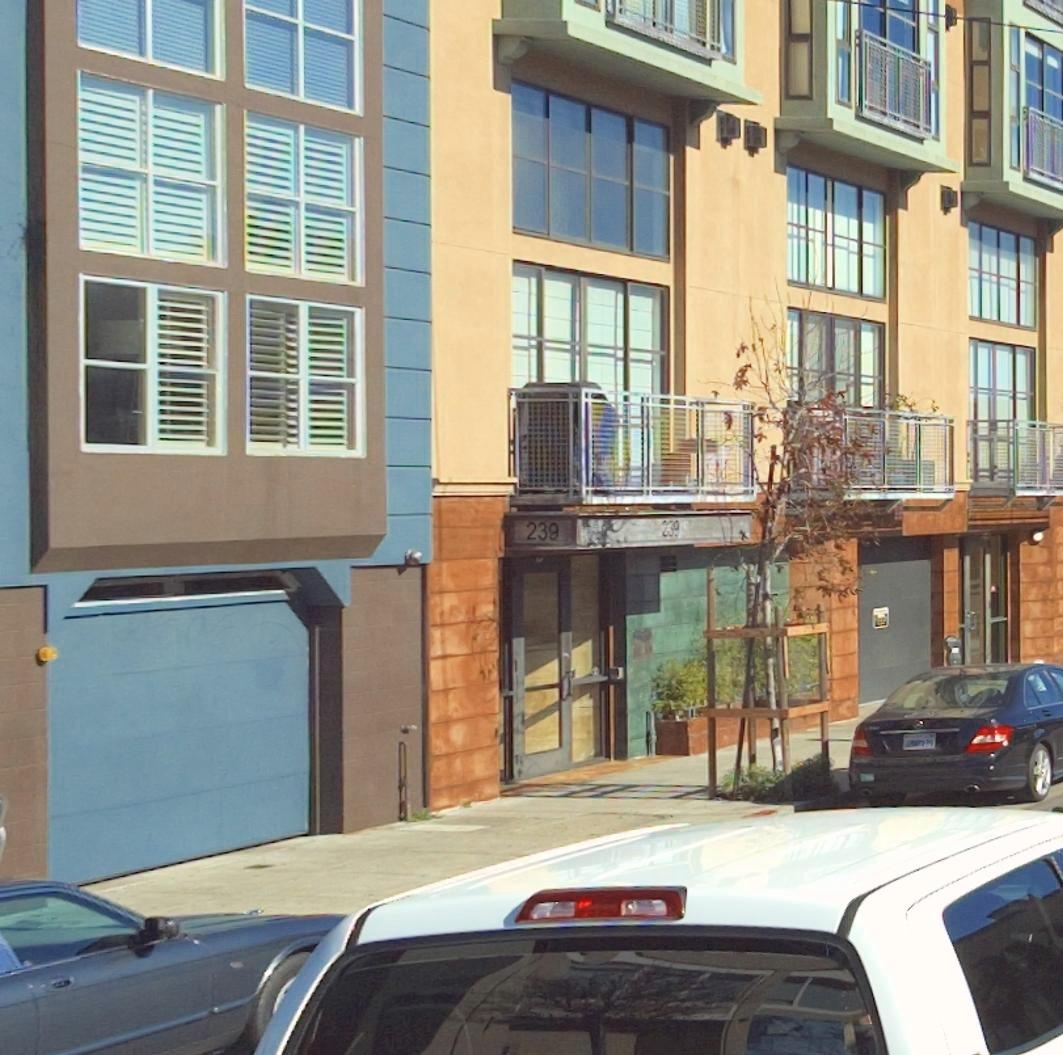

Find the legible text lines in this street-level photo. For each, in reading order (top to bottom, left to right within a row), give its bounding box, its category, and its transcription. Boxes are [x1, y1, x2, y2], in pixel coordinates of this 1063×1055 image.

[526, 520, 561, 542] StreetNumber: 239
[661, 518, 681, 539] StreetNumber: 239